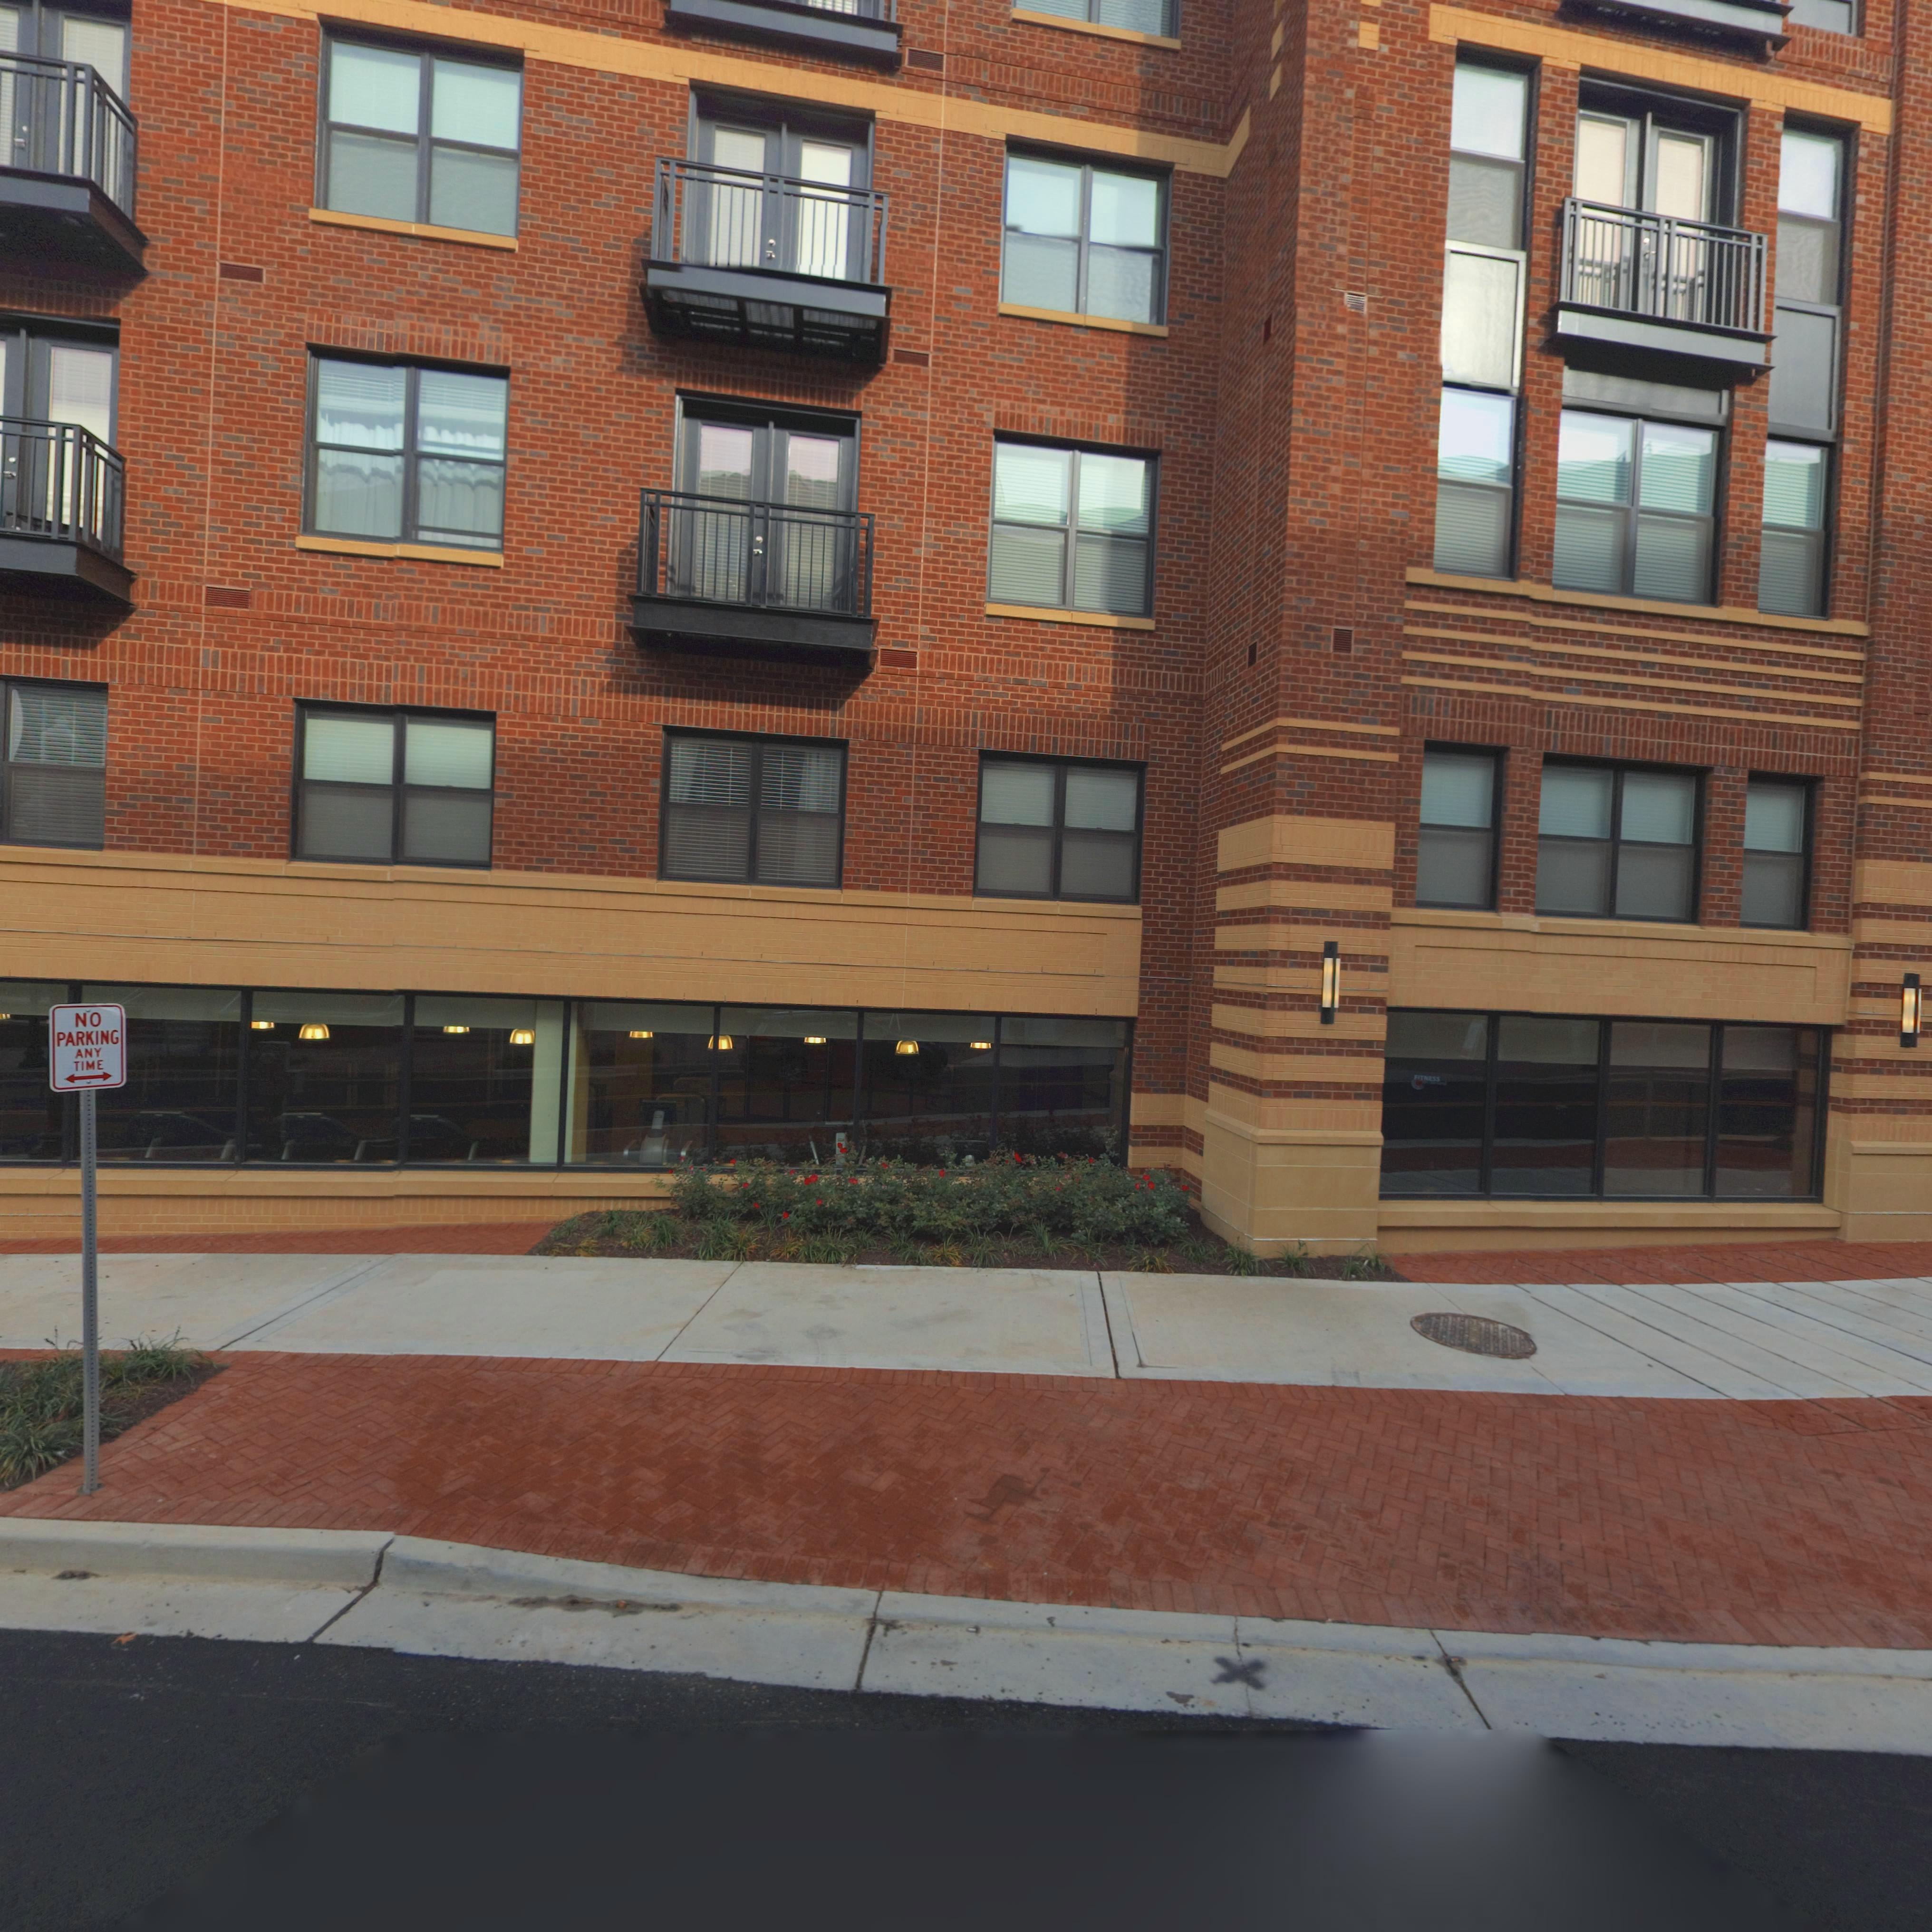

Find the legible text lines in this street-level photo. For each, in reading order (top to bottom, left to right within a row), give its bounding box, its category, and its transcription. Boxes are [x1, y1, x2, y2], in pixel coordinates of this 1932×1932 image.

[75, 1011, 102, 1029] None: NO
[56, 1029, 120, 1047] None: PARKING
[74, 1046, 104, 1059] None: ANY
[73, 1059, 104, 1072] None: TIME